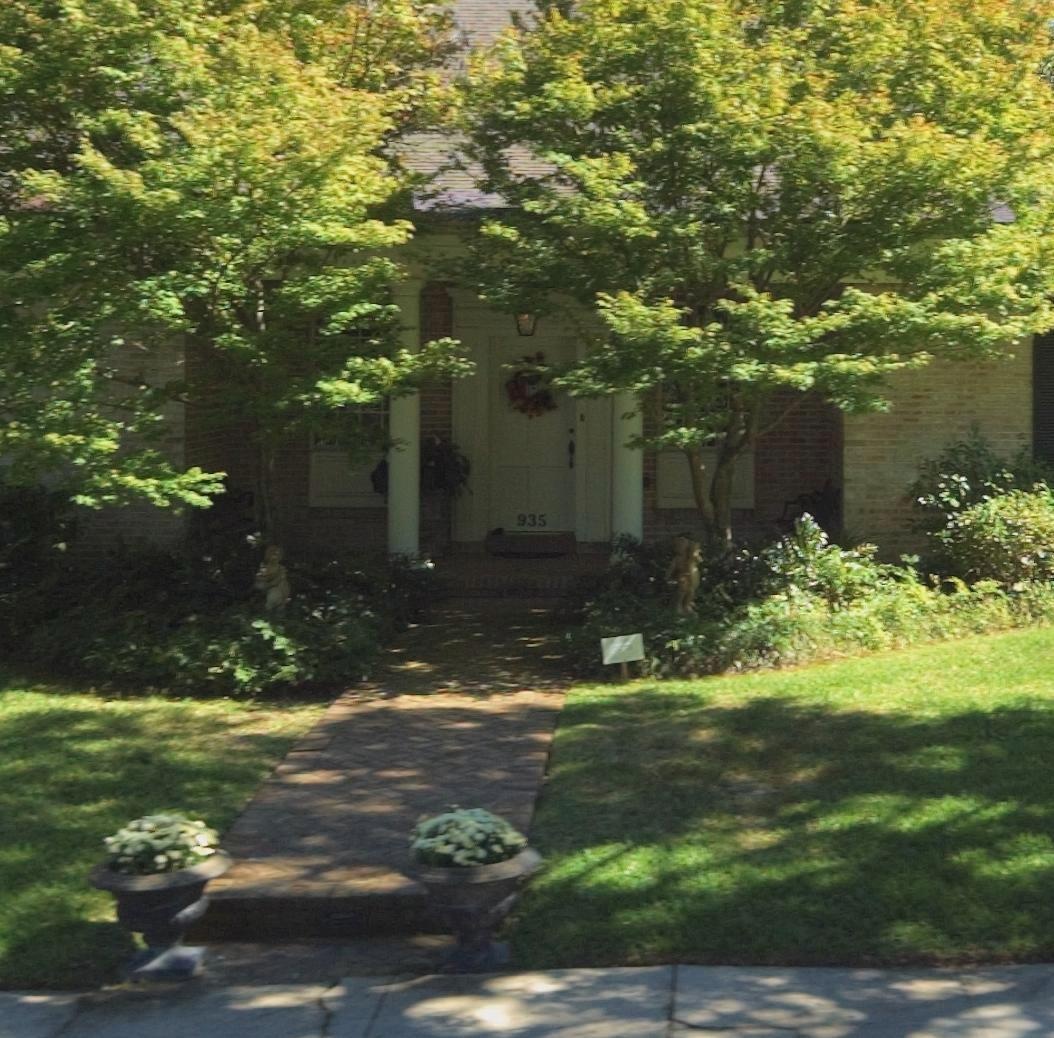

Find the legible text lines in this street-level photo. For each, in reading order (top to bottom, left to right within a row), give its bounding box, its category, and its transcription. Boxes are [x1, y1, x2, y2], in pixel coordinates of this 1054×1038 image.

[515, 511, 549, 529] StreetNumber: 935